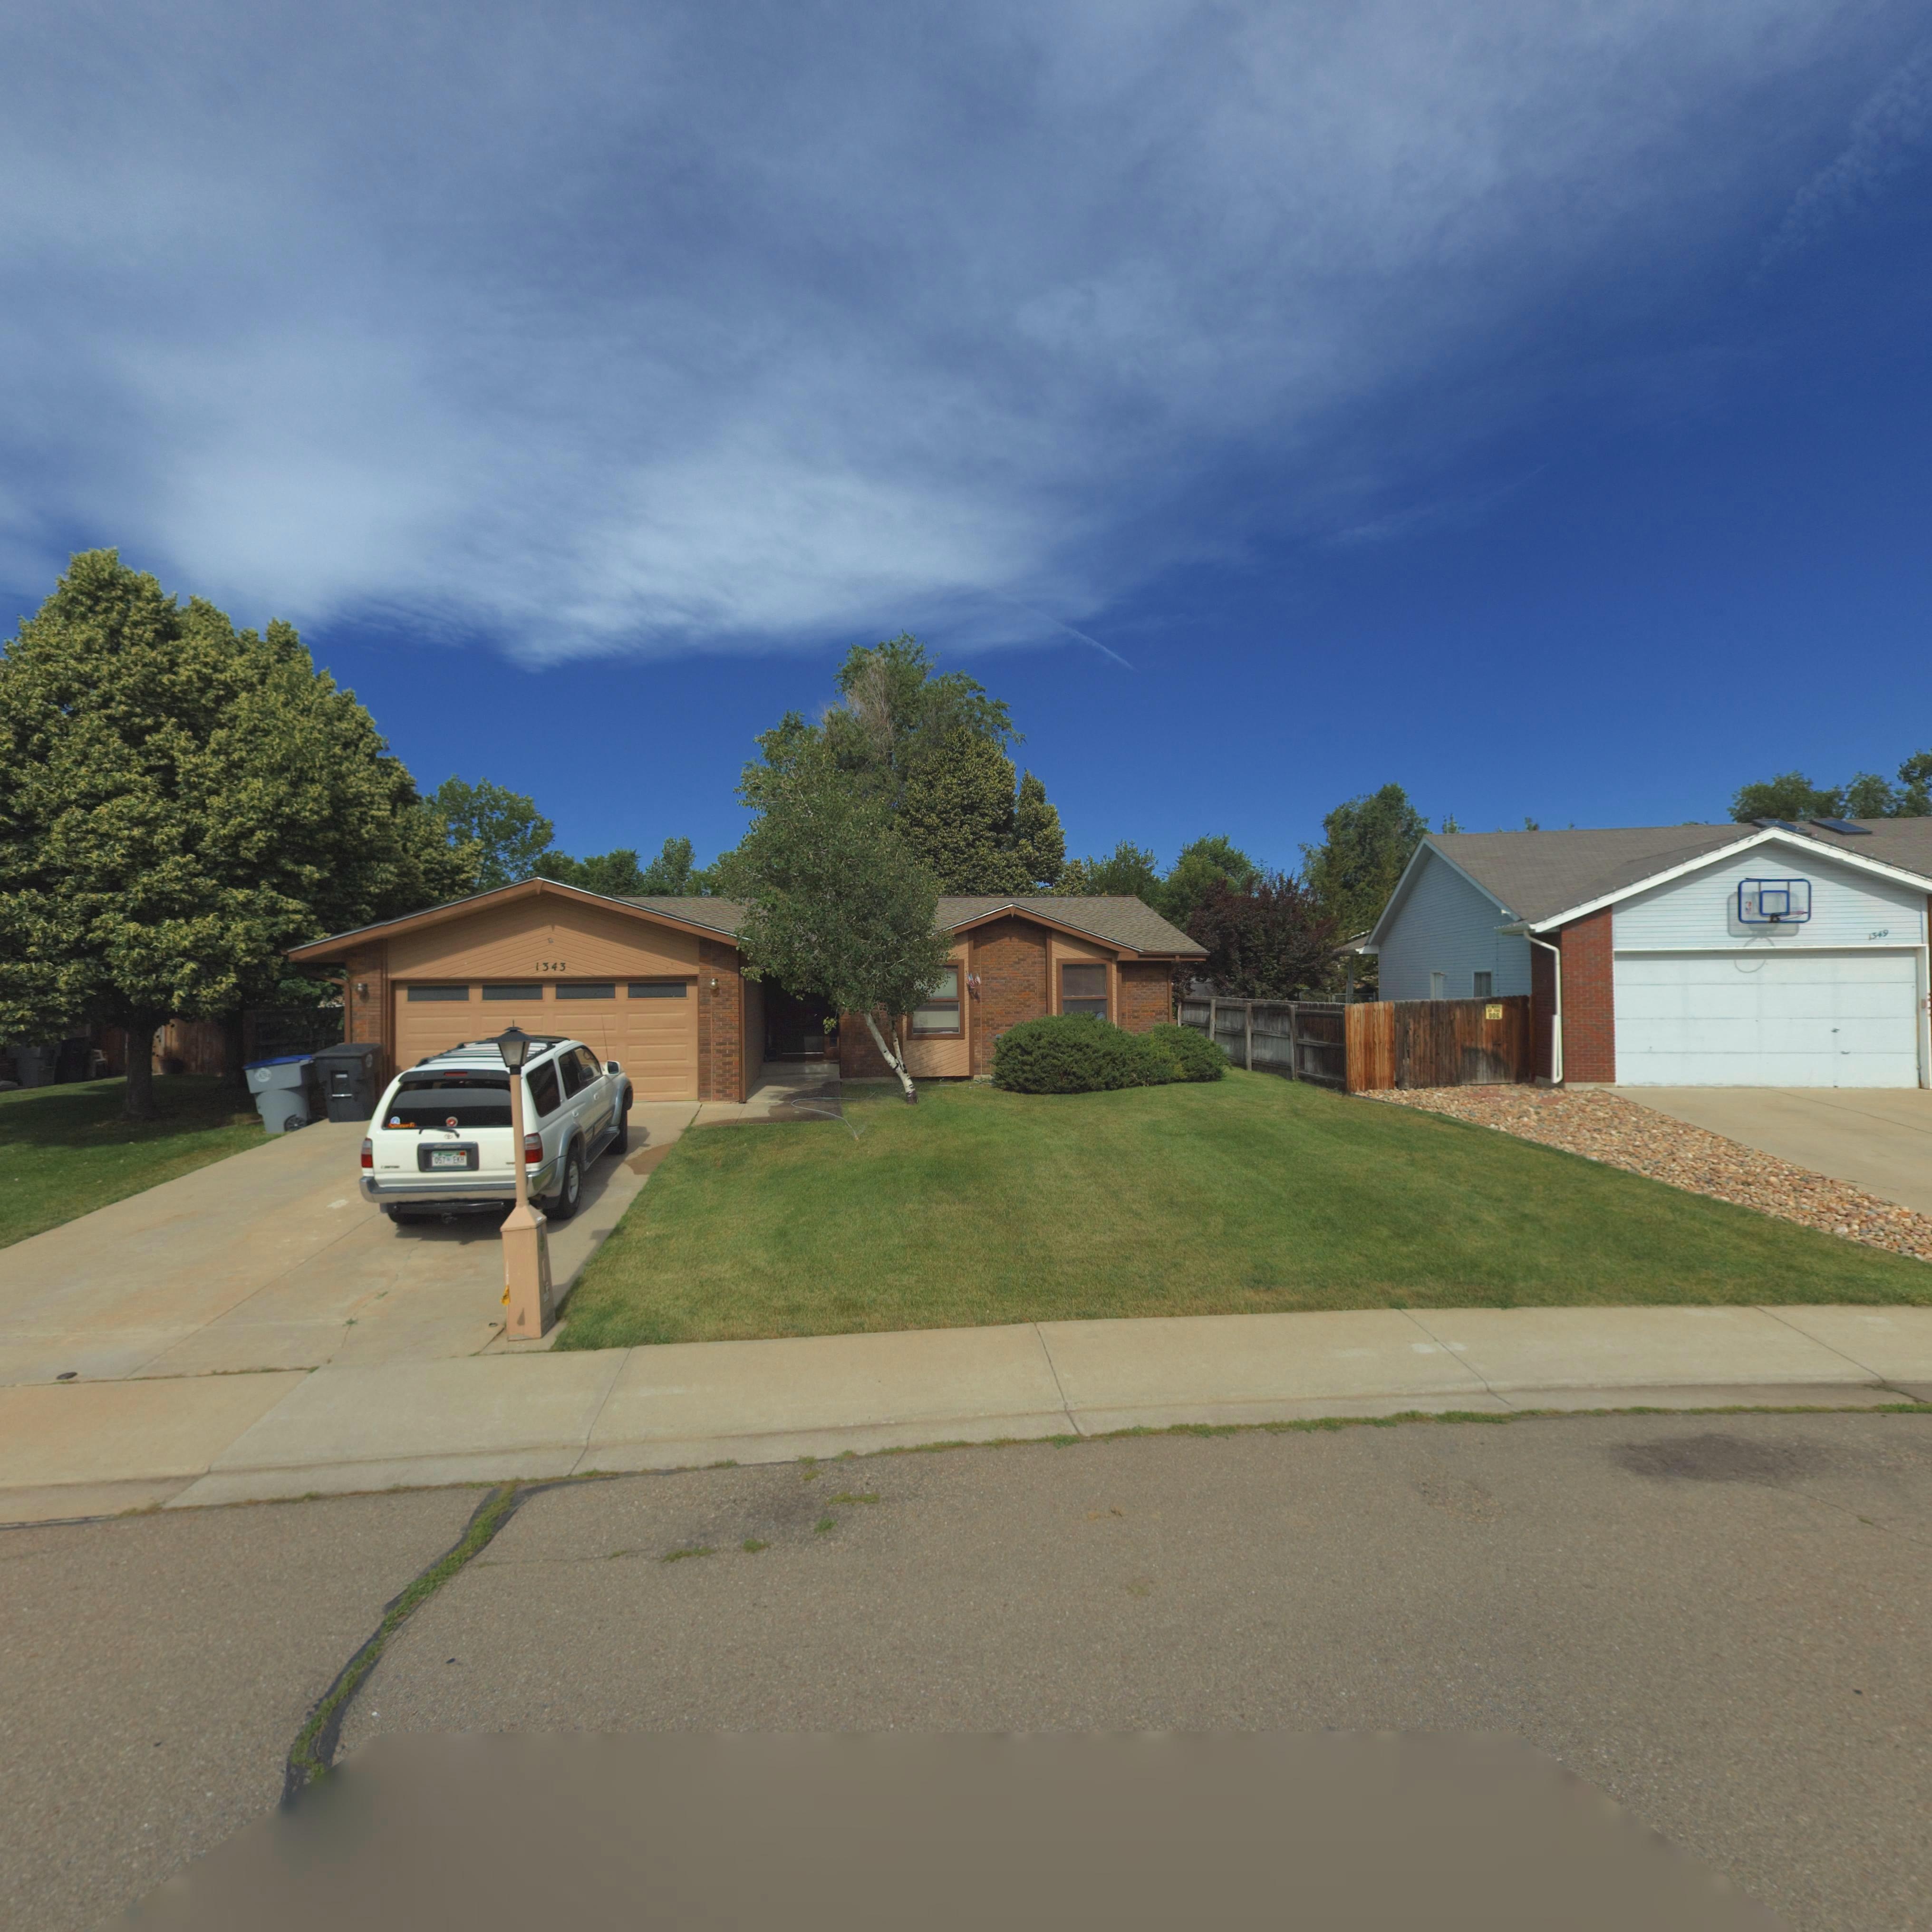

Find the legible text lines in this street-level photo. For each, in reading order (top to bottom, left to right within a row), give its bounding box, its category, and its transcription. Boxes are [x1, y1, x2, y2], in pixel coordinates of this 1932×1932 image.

[1868, 928, 1889, 941] StreetNumber: 1349
[535, 962, 566, 971] StreetNumber: 1343